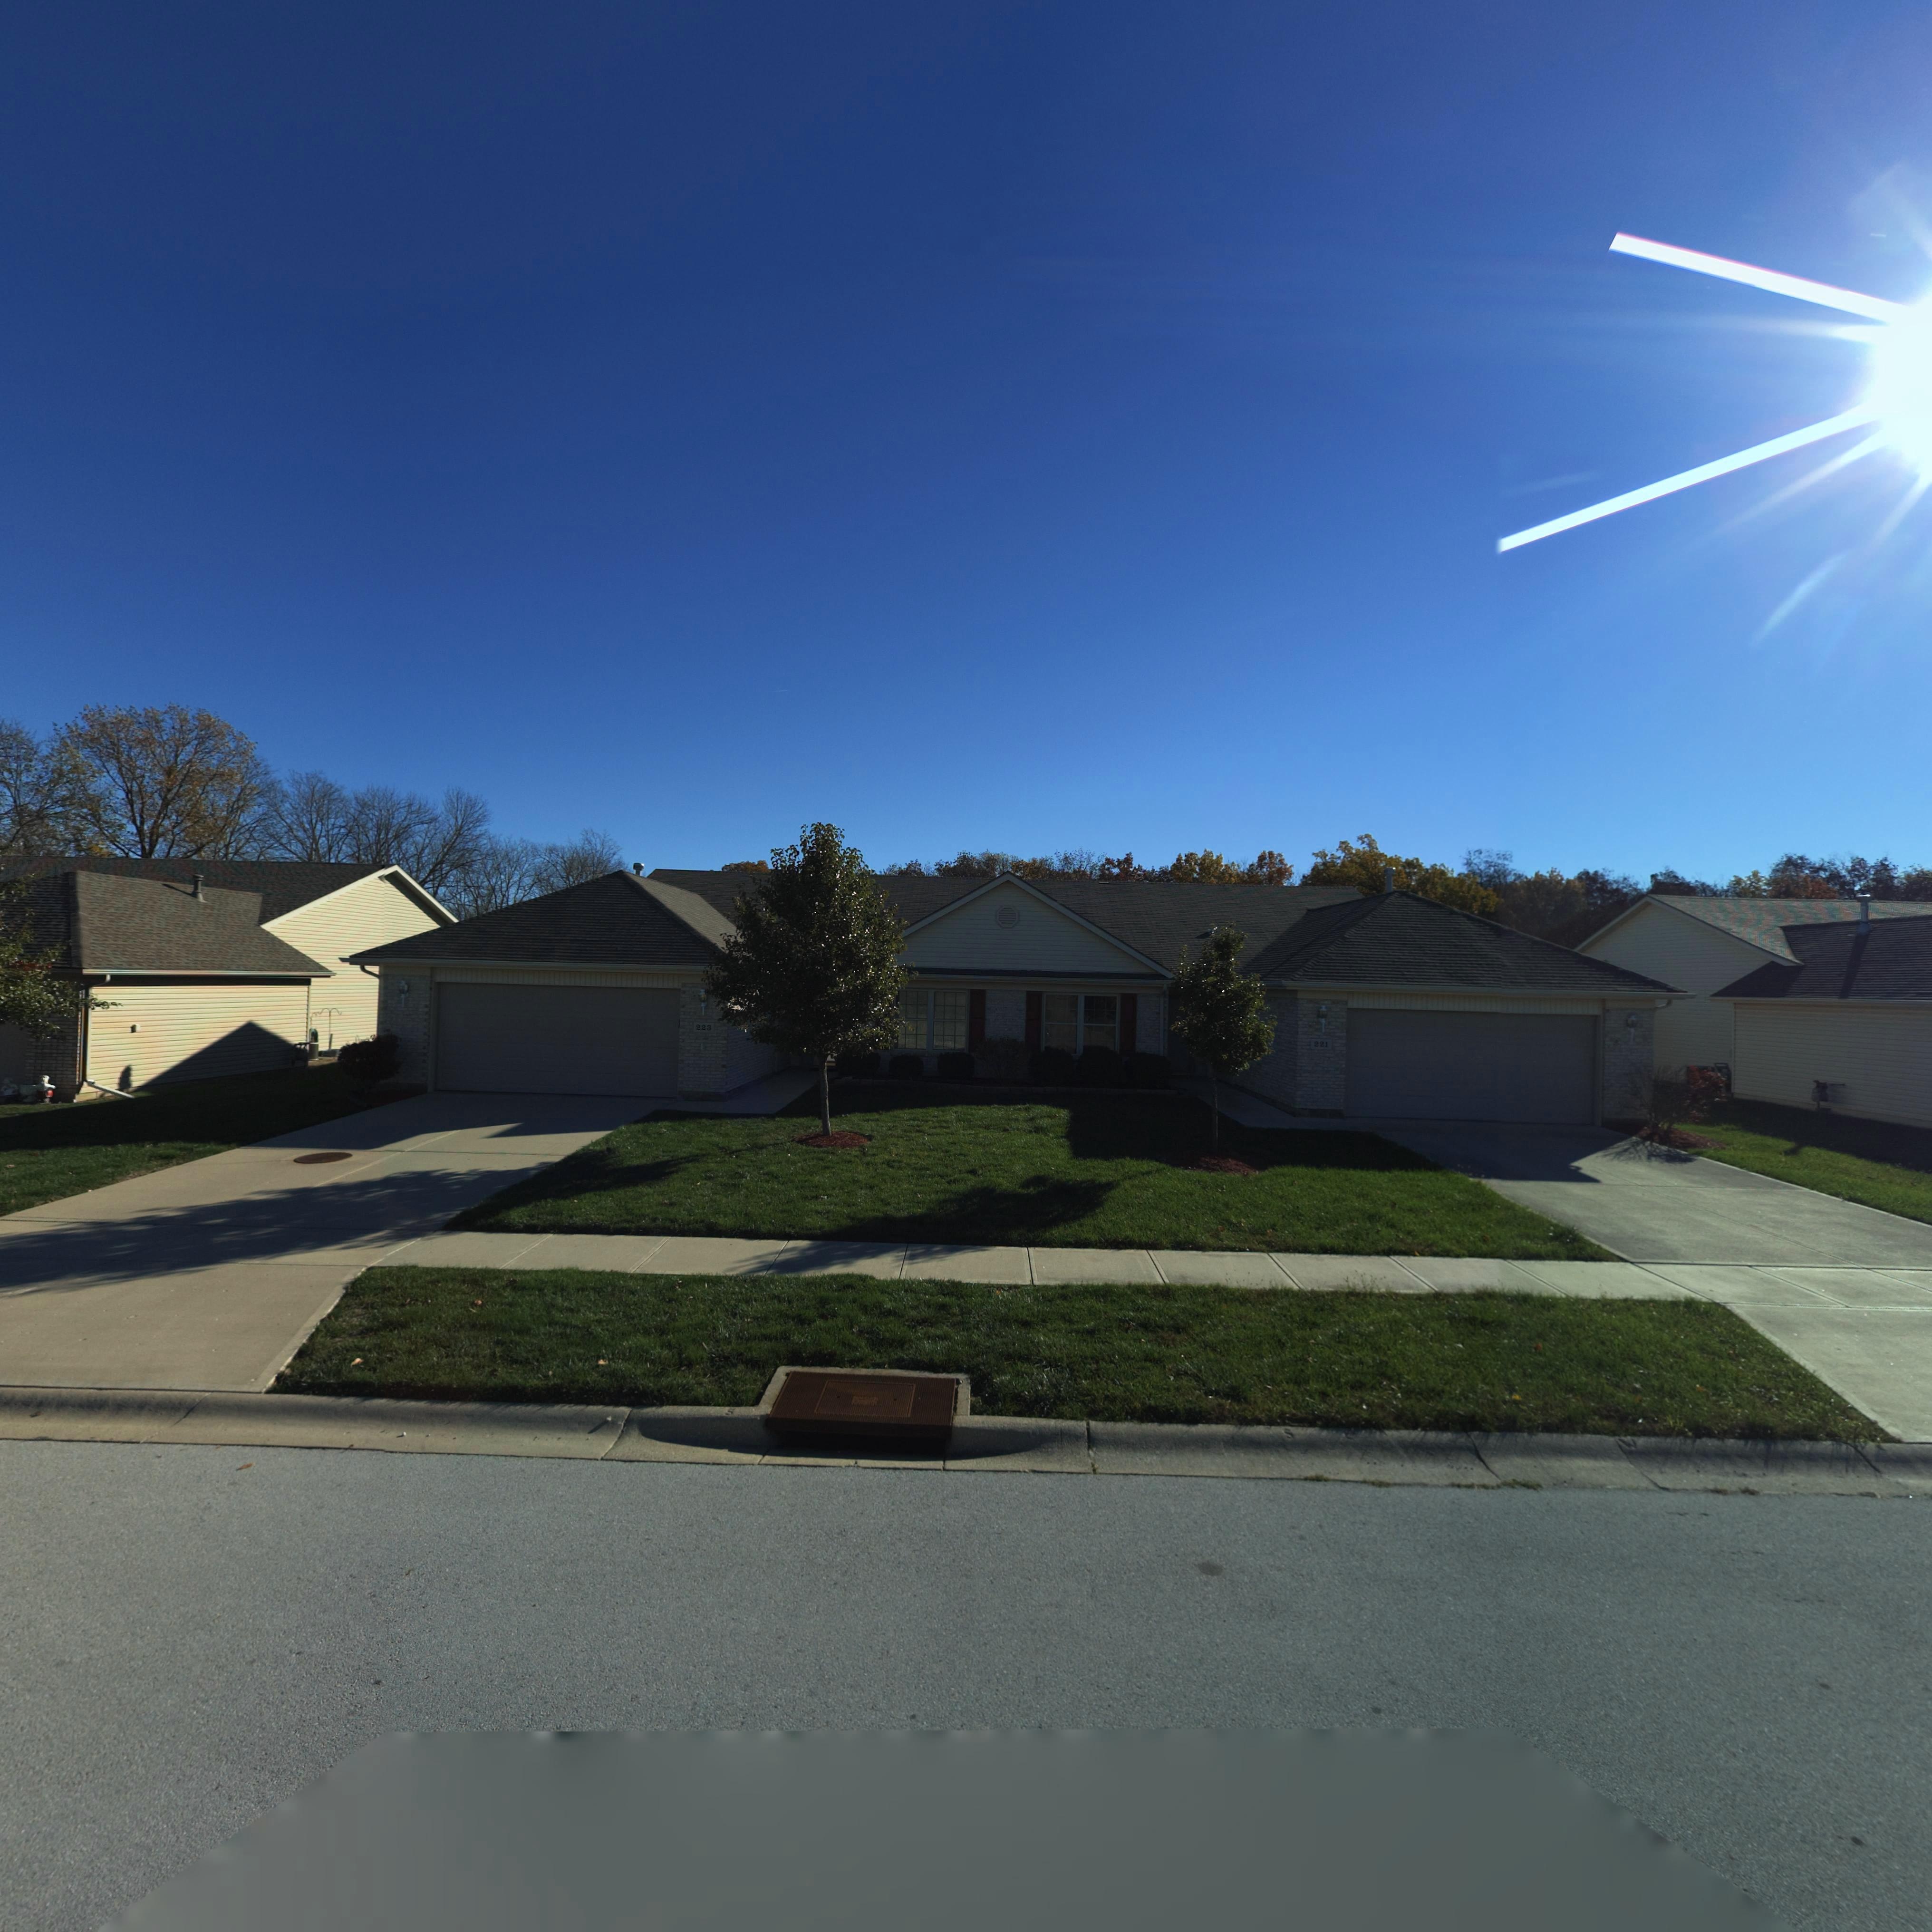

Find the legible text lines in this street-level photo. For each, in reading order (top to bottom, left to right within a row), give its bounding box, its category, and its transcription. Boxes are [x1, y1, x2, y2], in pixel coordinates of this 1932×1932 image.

[695, 1023, 712, 1032] StreetNumber: 223
[1313, 1039, 1329, 1049] StreetNumber: 221